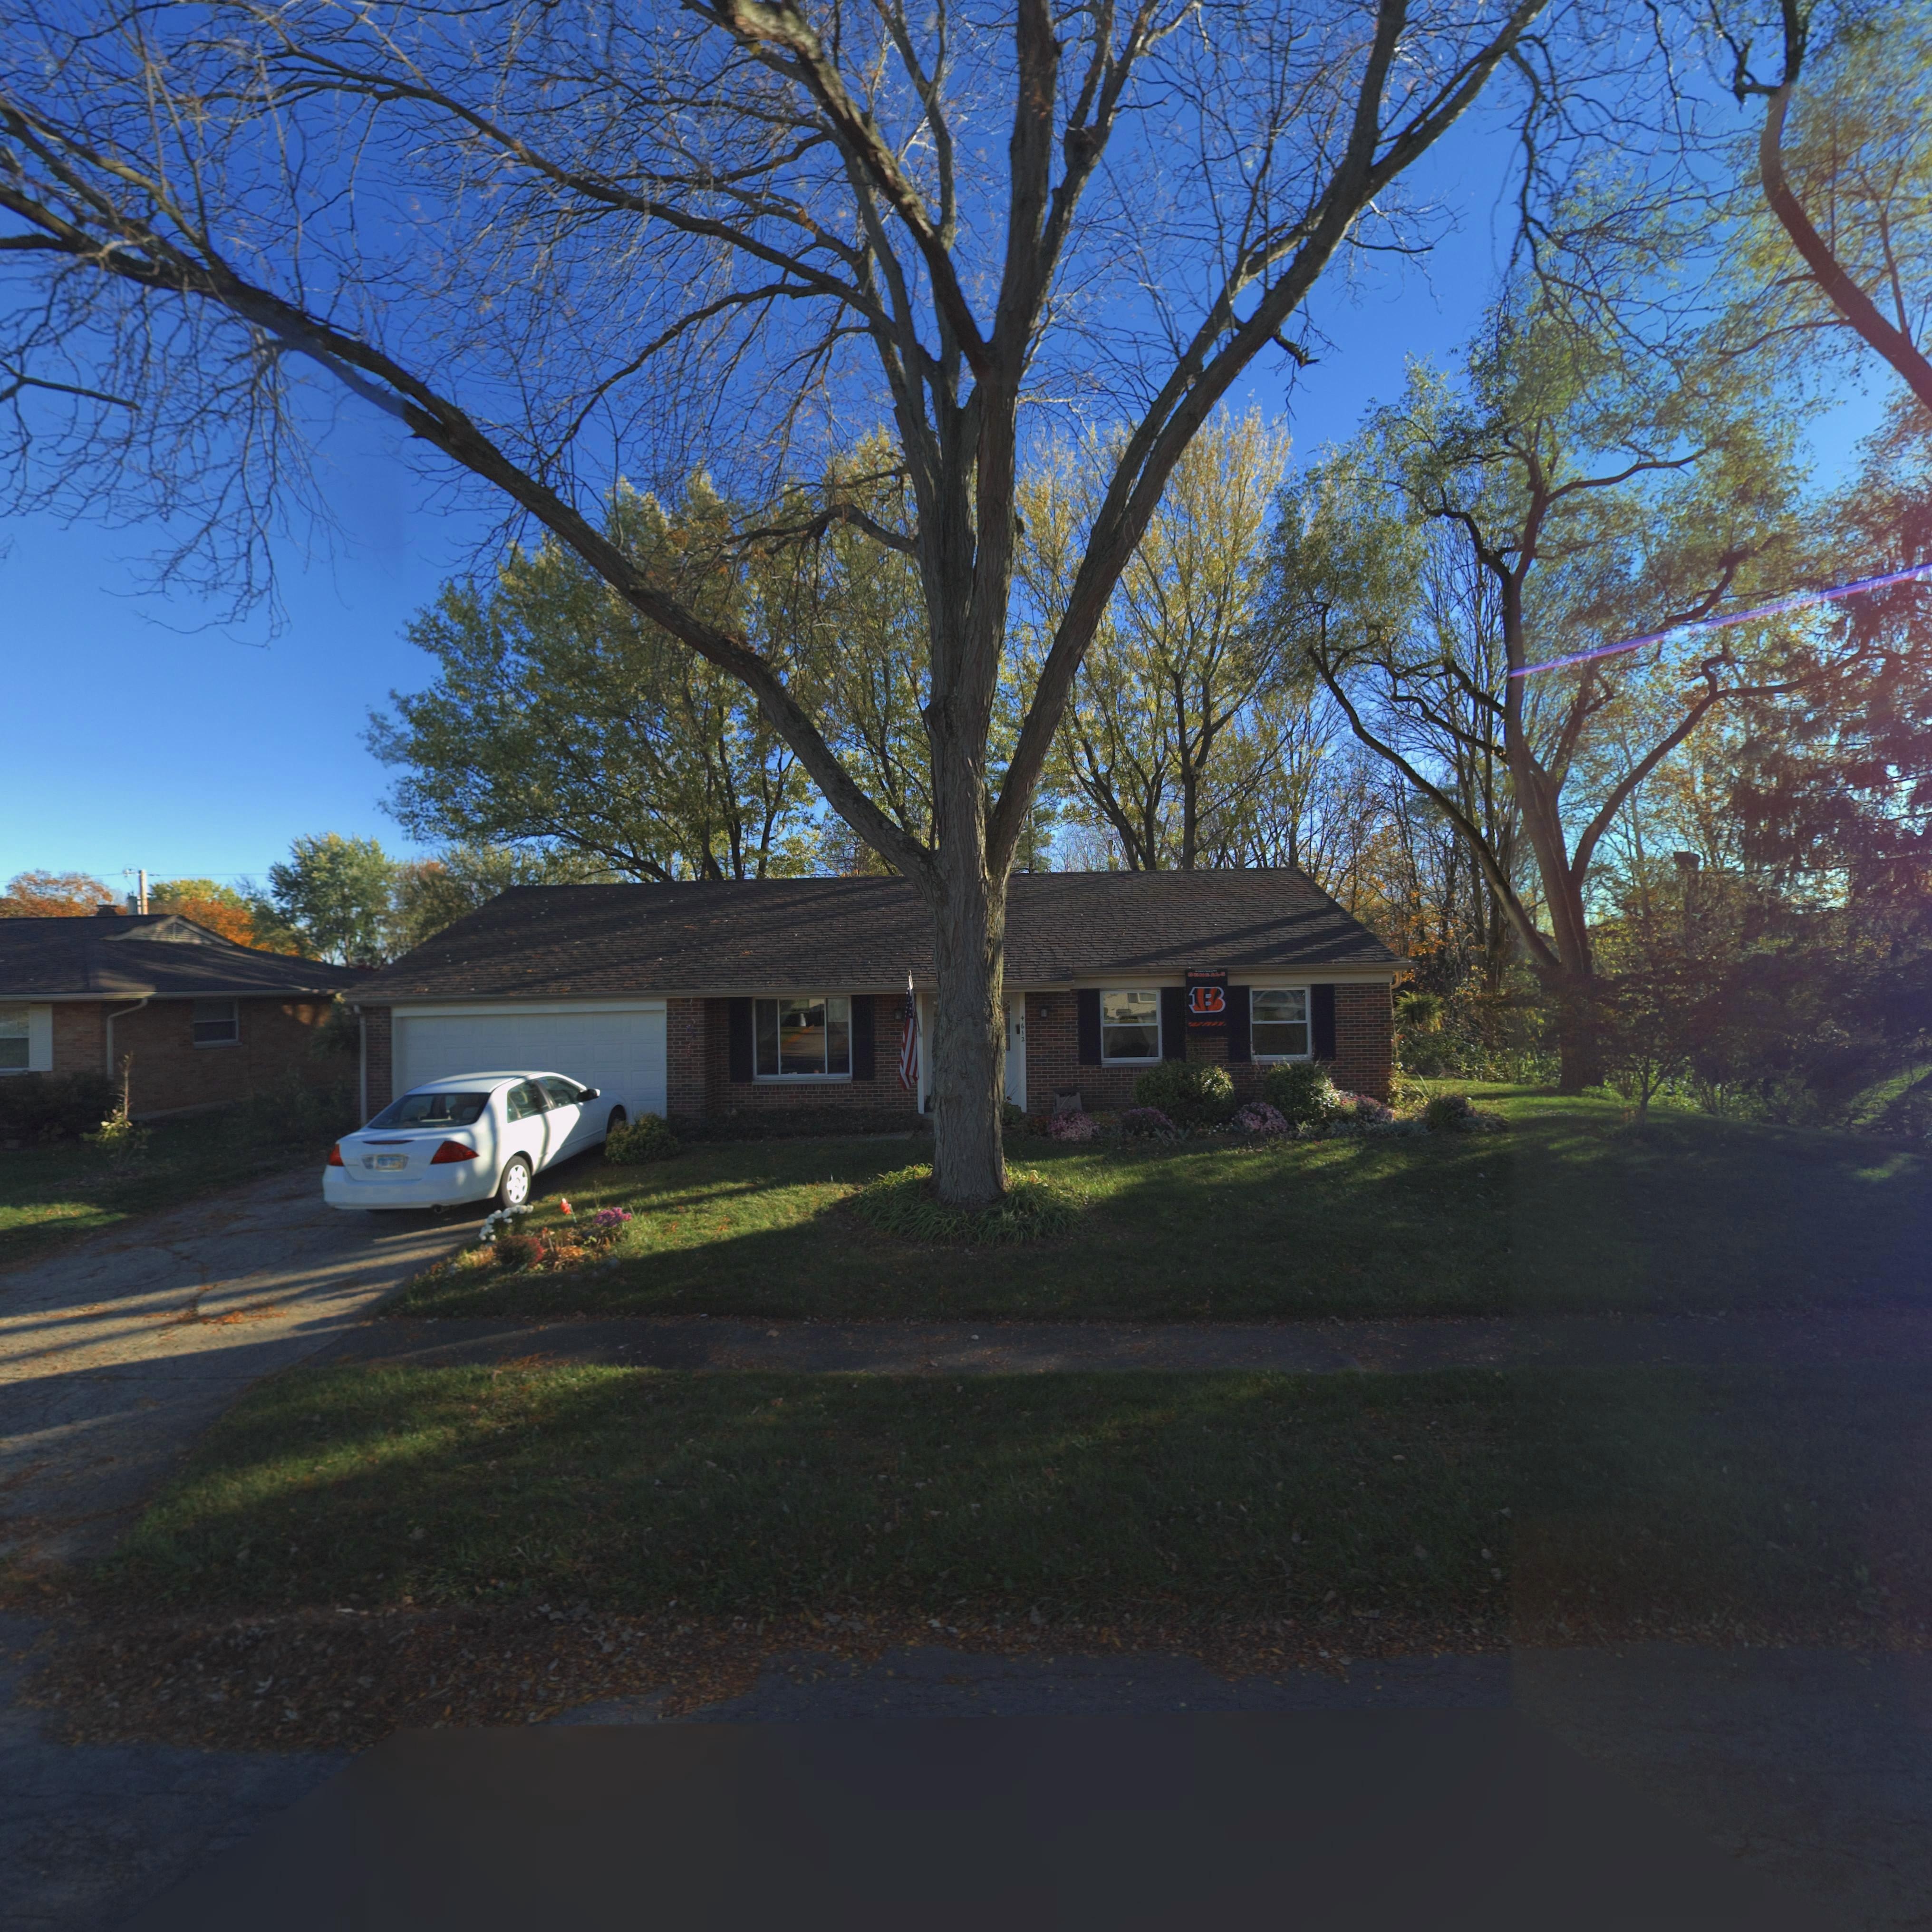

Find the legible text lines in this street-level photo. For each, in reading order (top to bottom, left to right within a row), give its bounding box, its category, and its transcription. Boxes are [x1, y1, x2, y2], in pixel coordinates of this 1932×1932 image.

[1020, 1015, 1025, 1043] StreetNumber: 4612